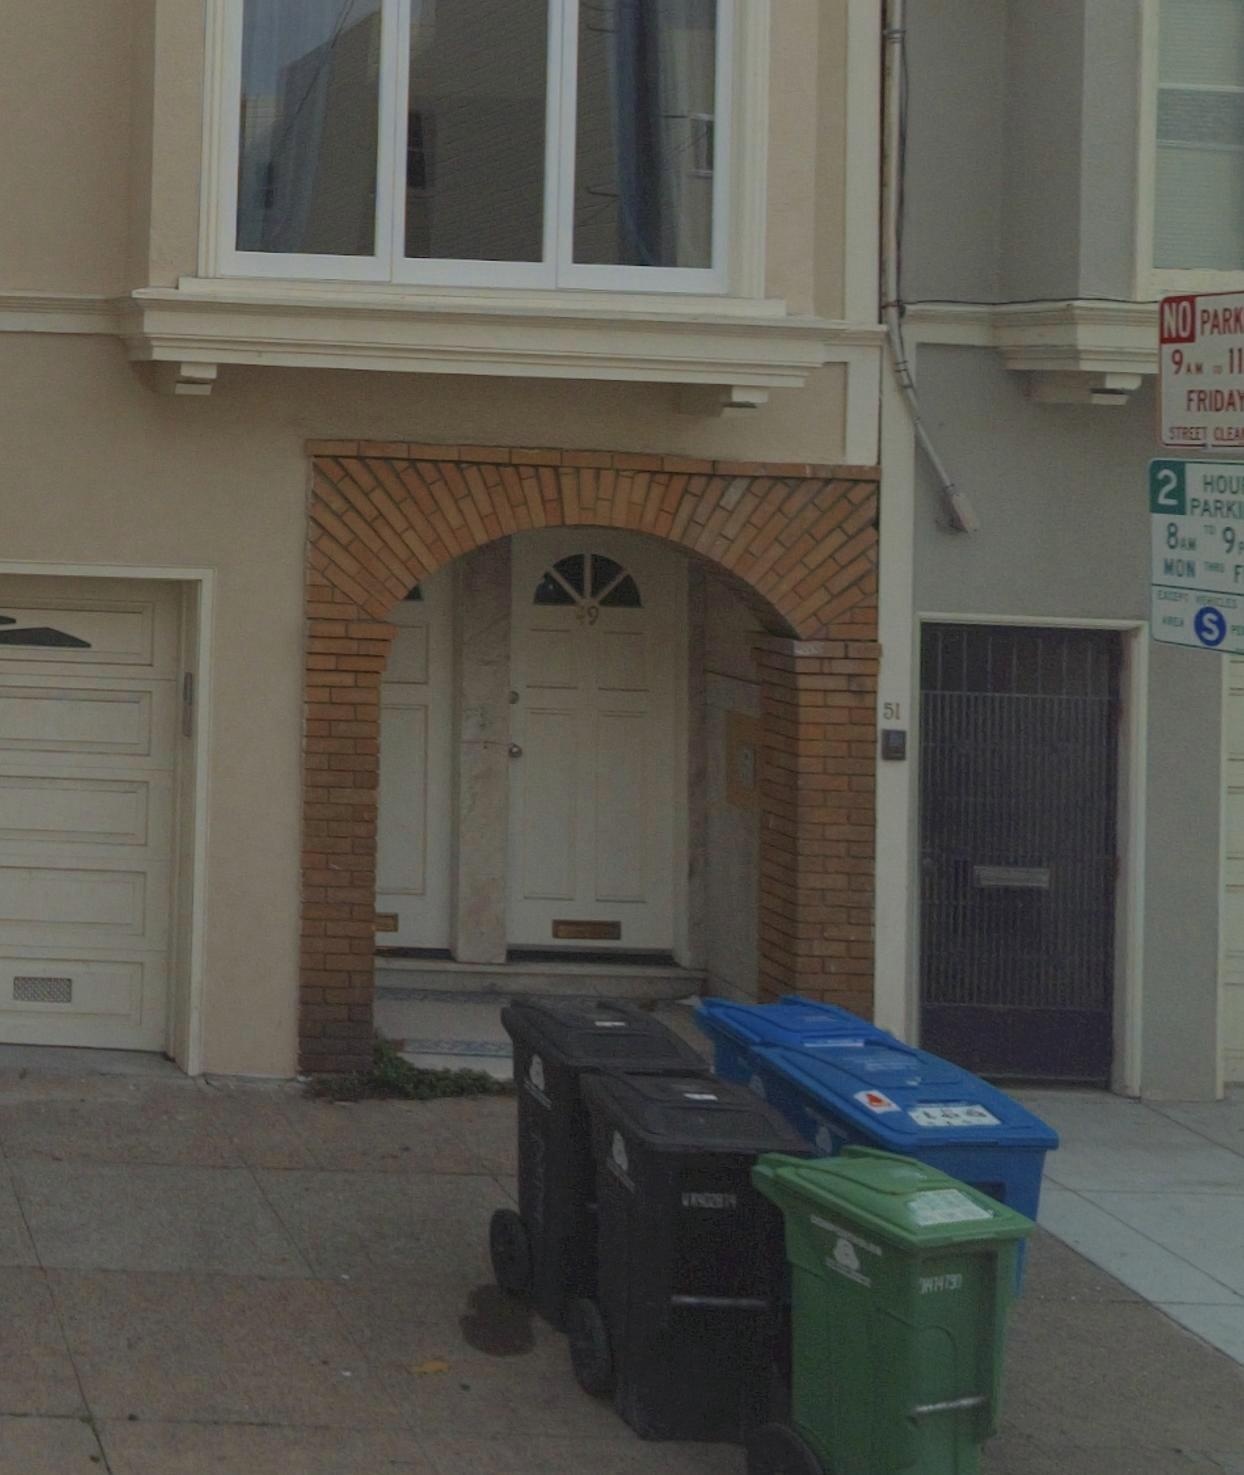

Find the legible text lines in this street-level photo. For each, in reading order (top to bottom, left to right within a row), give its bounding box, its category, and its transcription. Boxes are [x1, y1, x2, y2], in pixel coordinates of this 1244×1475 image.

[1160, 299, 1244, 341] None: NO PARK
[1166, 347, 1206, 379] None: 9AM
[1225, 345, 1244, 377] None: 11
[1184, 386, 1239, 414] None: FRIDA
[1166, 424, 1243, 441] None: STREET CLEA
[1154, 465, 1180, 510] None: 2
[1199, 472, 1242, 497] None: HOU
[1188, 496, 1238, 523] None: PARK
[1165, 520, 1198, 554] None: 8AM
[1221, 524, 1238, 559] None: 9
[1161, 555, 1197, 583] None: MON
[1231, 562, 1244, 587] None: F
[574, 604, 599, 626] StreetNumber: 49
[1198, 610, 1220, 644] None: S
[881, 700, 903, 722] StreetNumber: 51
[924, 1273, 963, 1293] None: 414*30